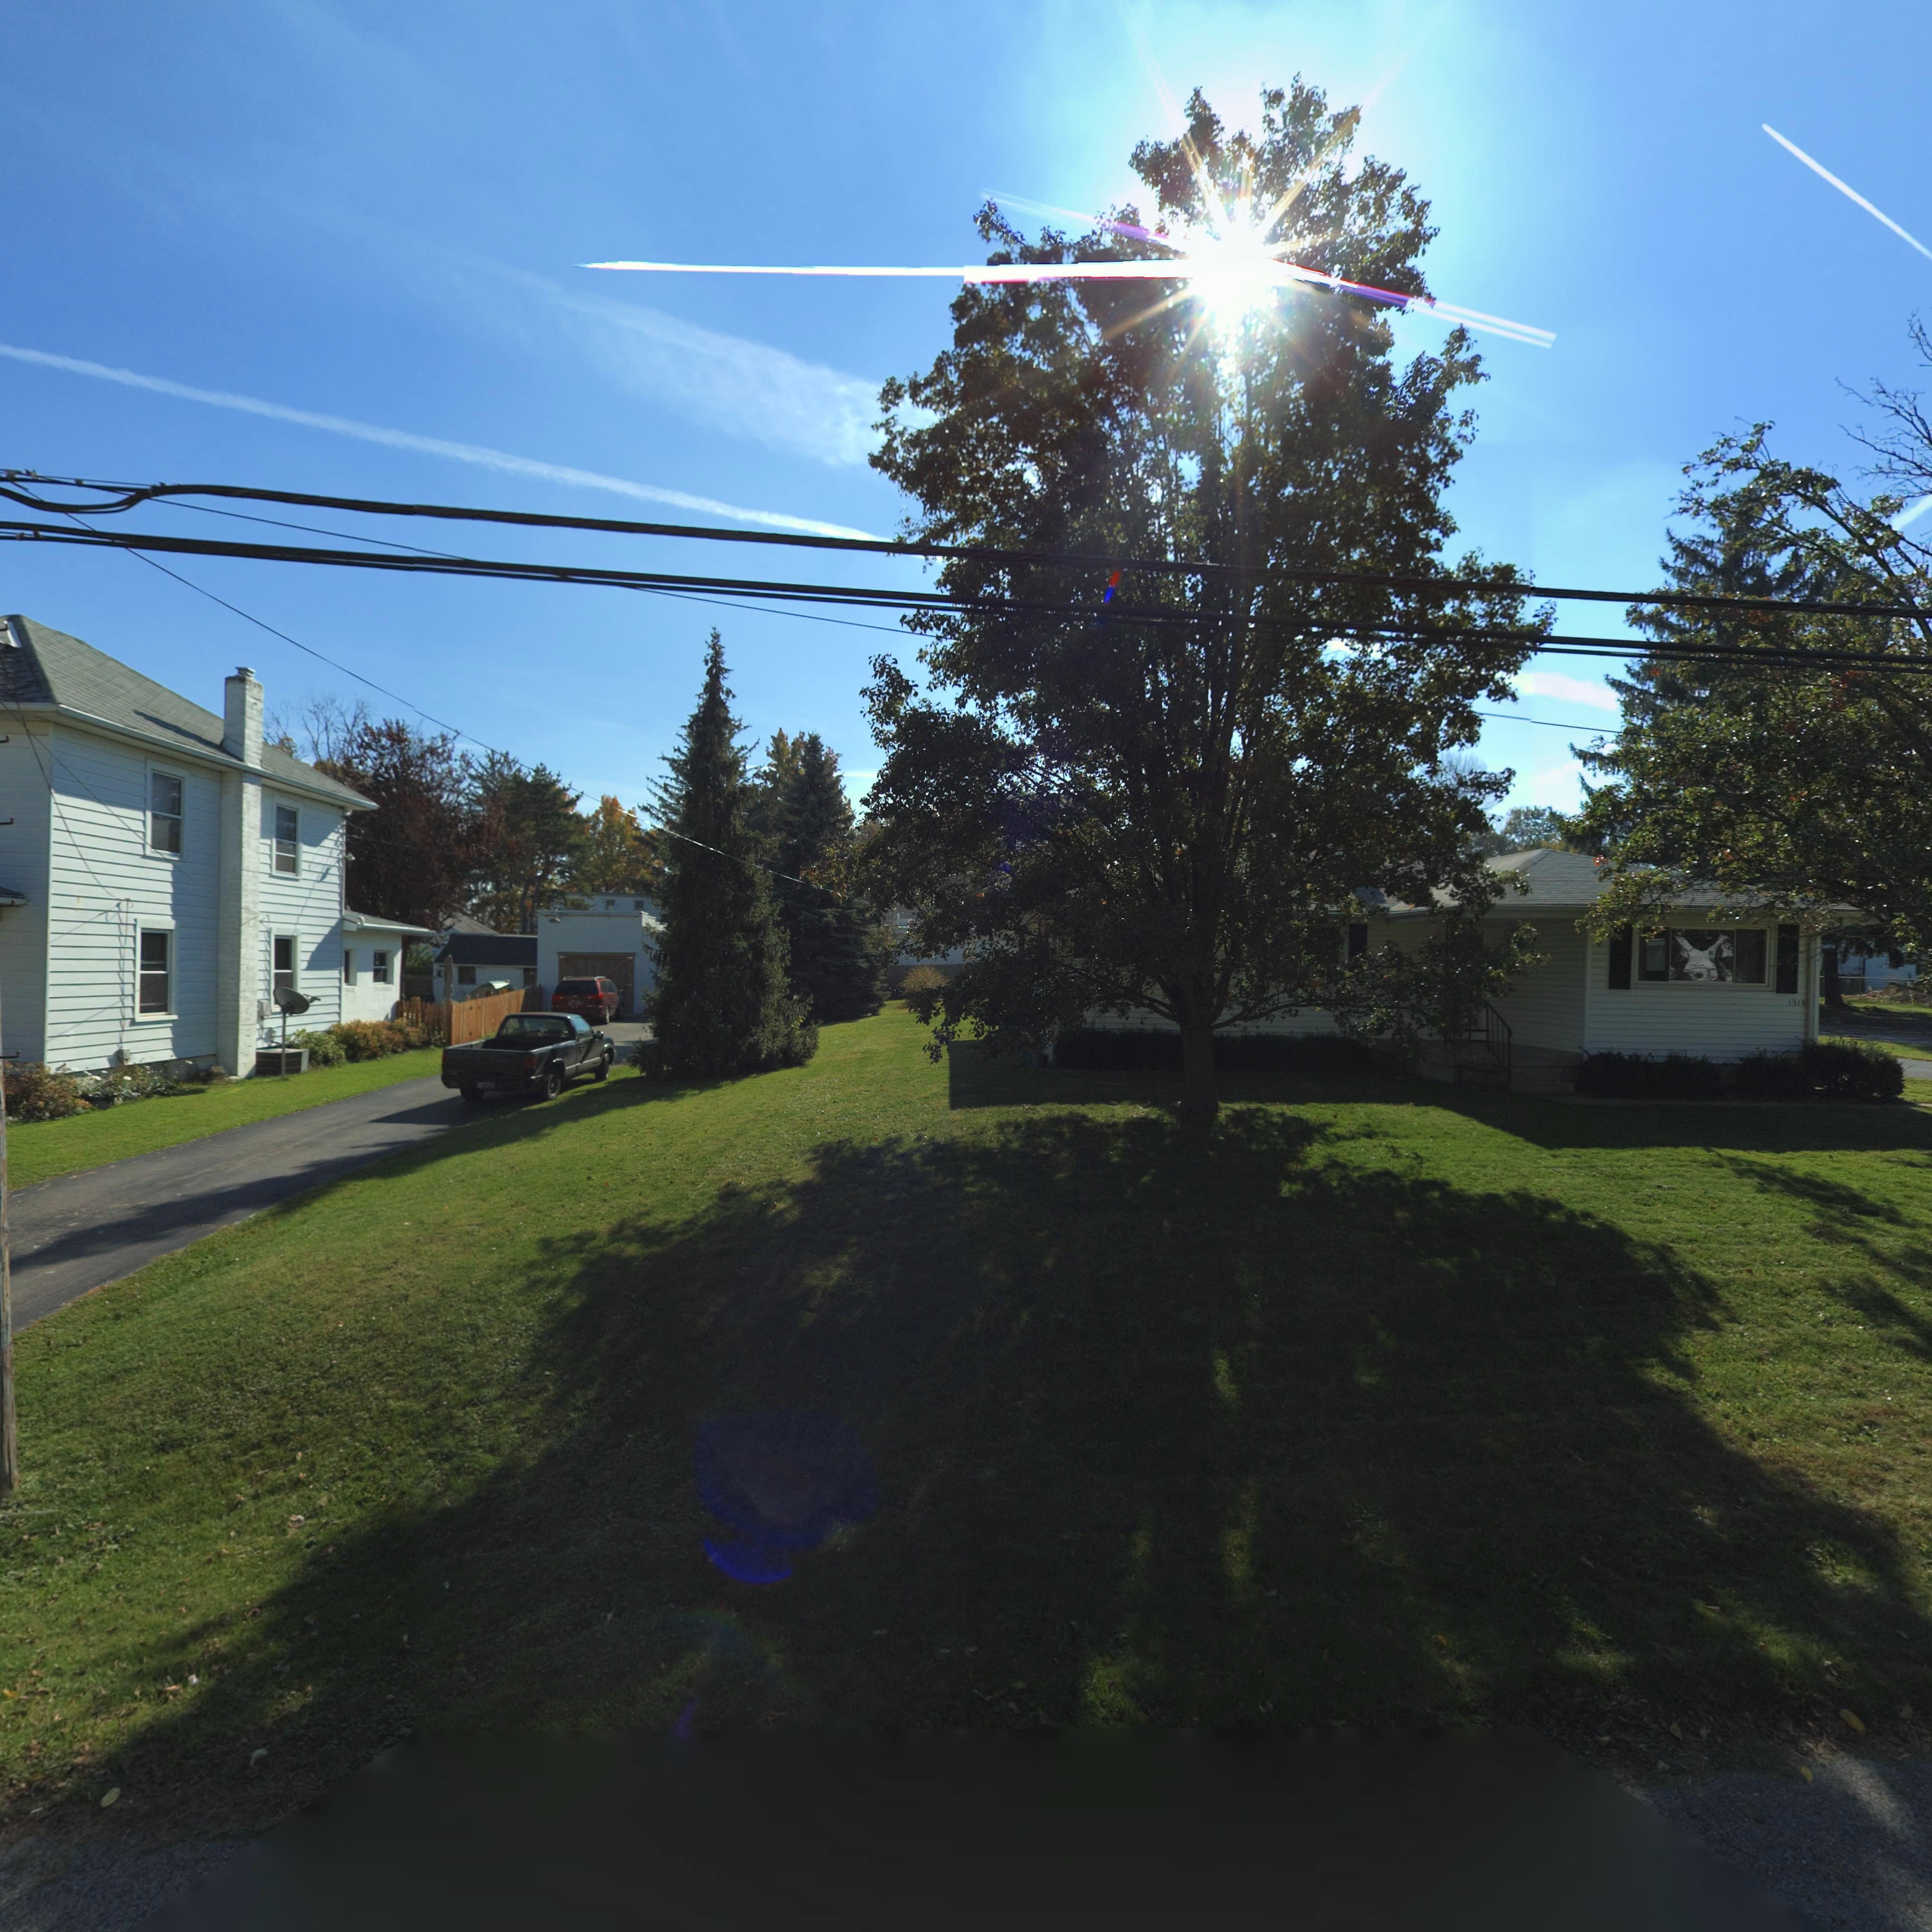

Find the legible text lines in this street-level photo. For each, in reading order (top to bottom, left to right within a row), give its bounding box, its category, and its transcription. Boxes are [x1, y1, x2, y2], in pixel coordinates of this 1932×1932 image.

[1787, 998, 1806, 1006] StreetNumber: 1315